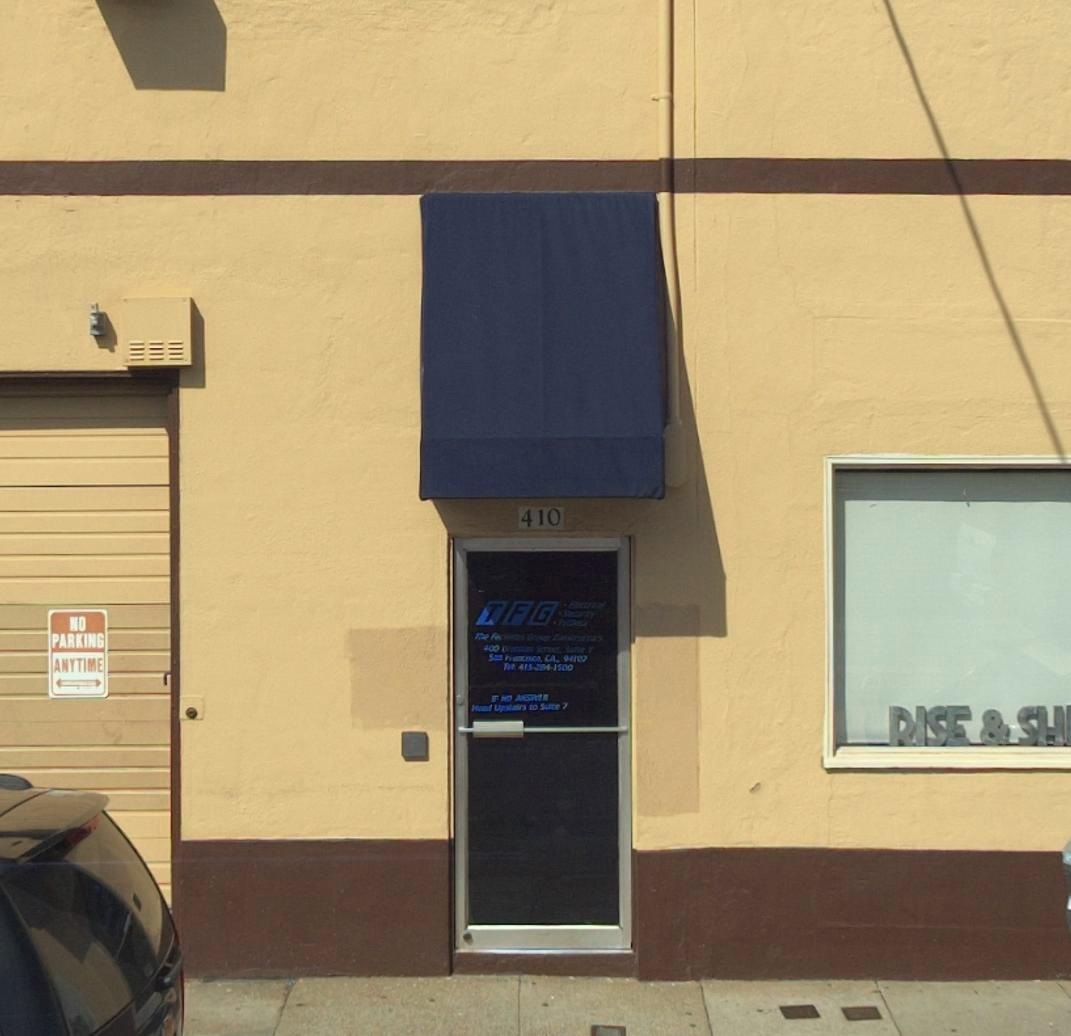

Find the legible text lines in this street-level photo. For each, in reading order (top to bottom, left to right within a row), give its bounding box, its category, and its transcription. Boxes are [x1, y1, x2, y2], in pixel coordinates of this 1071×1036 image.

[518, 505, 564, 529] StreetNumber: 410
[66, 612, 89, 635] None: NO
[477, 597, 560, 628] BusinessName: TFG
[47, 629, 106, 653] None: PARKING
[50, 654, 108, 677] None: ANYTIME
[486, 653, 495, 663] None: 5
[515, 662, 577, 674] None: 415-*0*-1500
[543, 653, 558, 665] None: CA
[883, 701, 1068, 752] BusinessName: RISE & SH